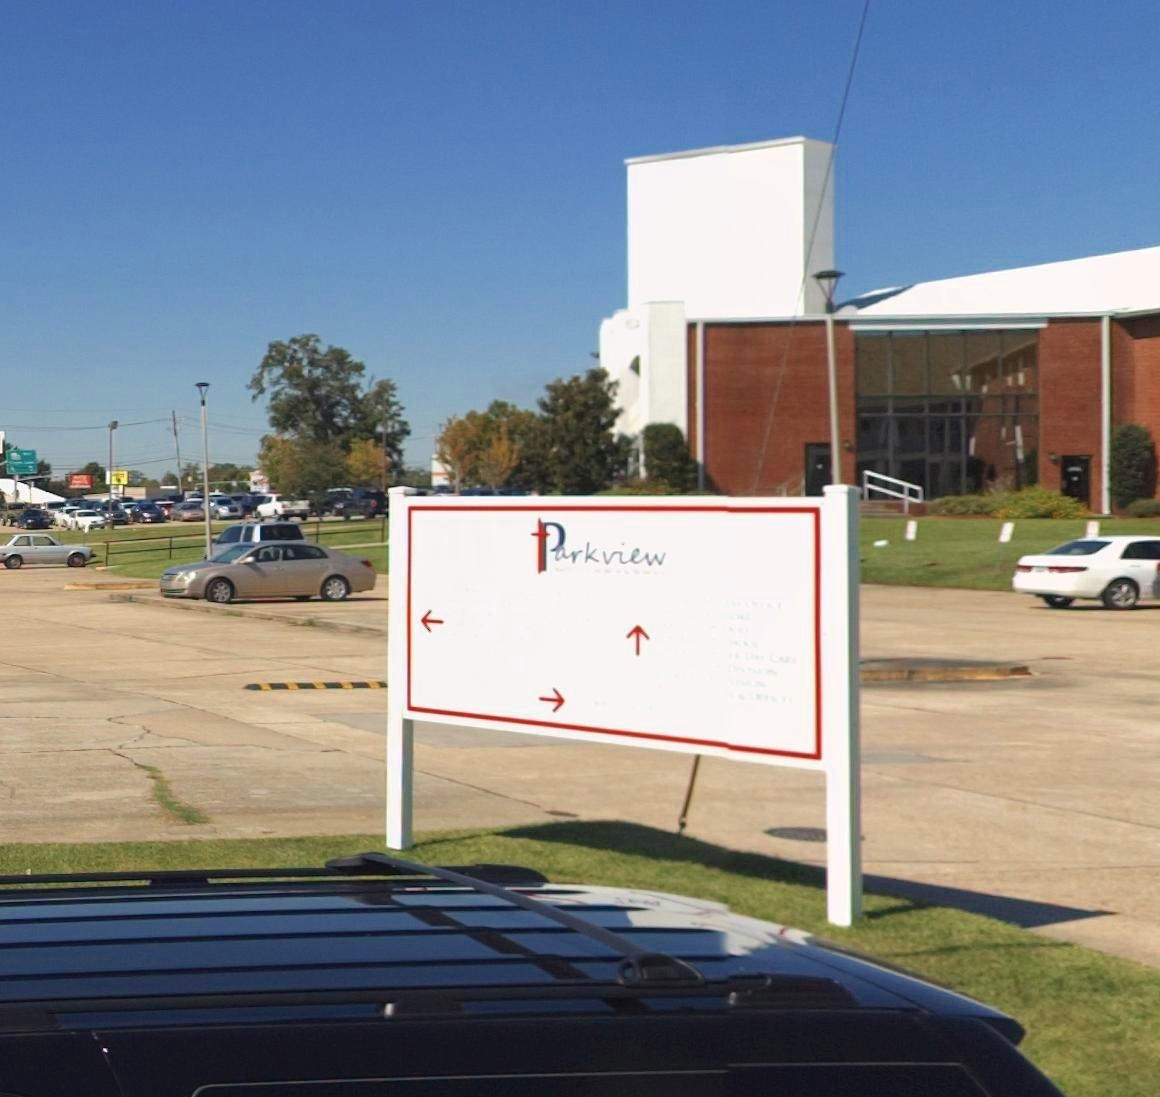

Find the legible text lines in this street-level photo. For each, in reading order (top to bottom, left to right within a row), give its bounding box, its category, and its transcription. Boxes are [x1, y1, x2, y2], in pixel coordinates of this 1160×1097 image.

[534, 517, 671, 575] BusinessName: Parkview